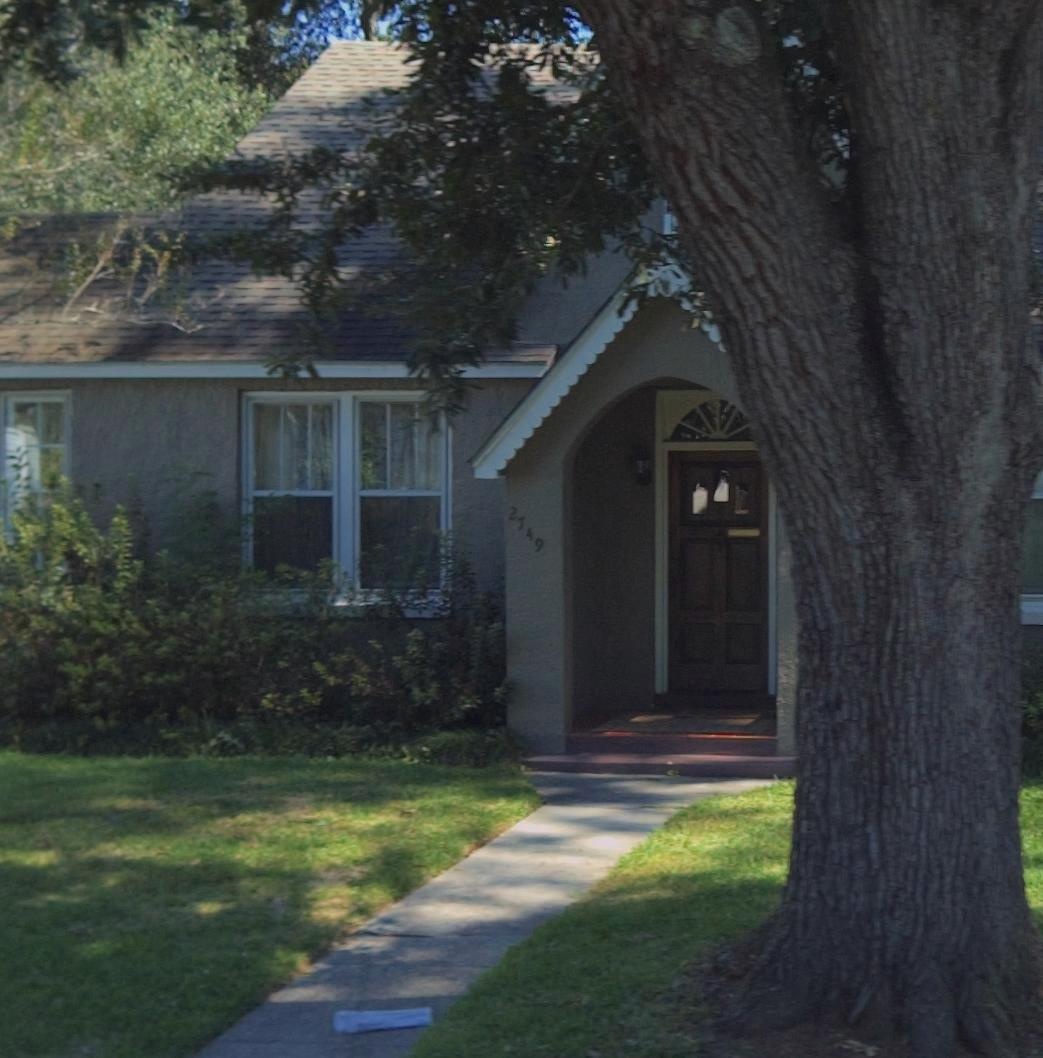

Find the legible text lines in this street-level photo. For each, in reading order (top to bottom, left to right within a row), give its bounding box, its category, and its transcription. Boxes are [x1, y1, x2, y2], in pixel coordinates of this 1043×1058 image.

[507, 504, 545, 555] StreetNumber: 2749